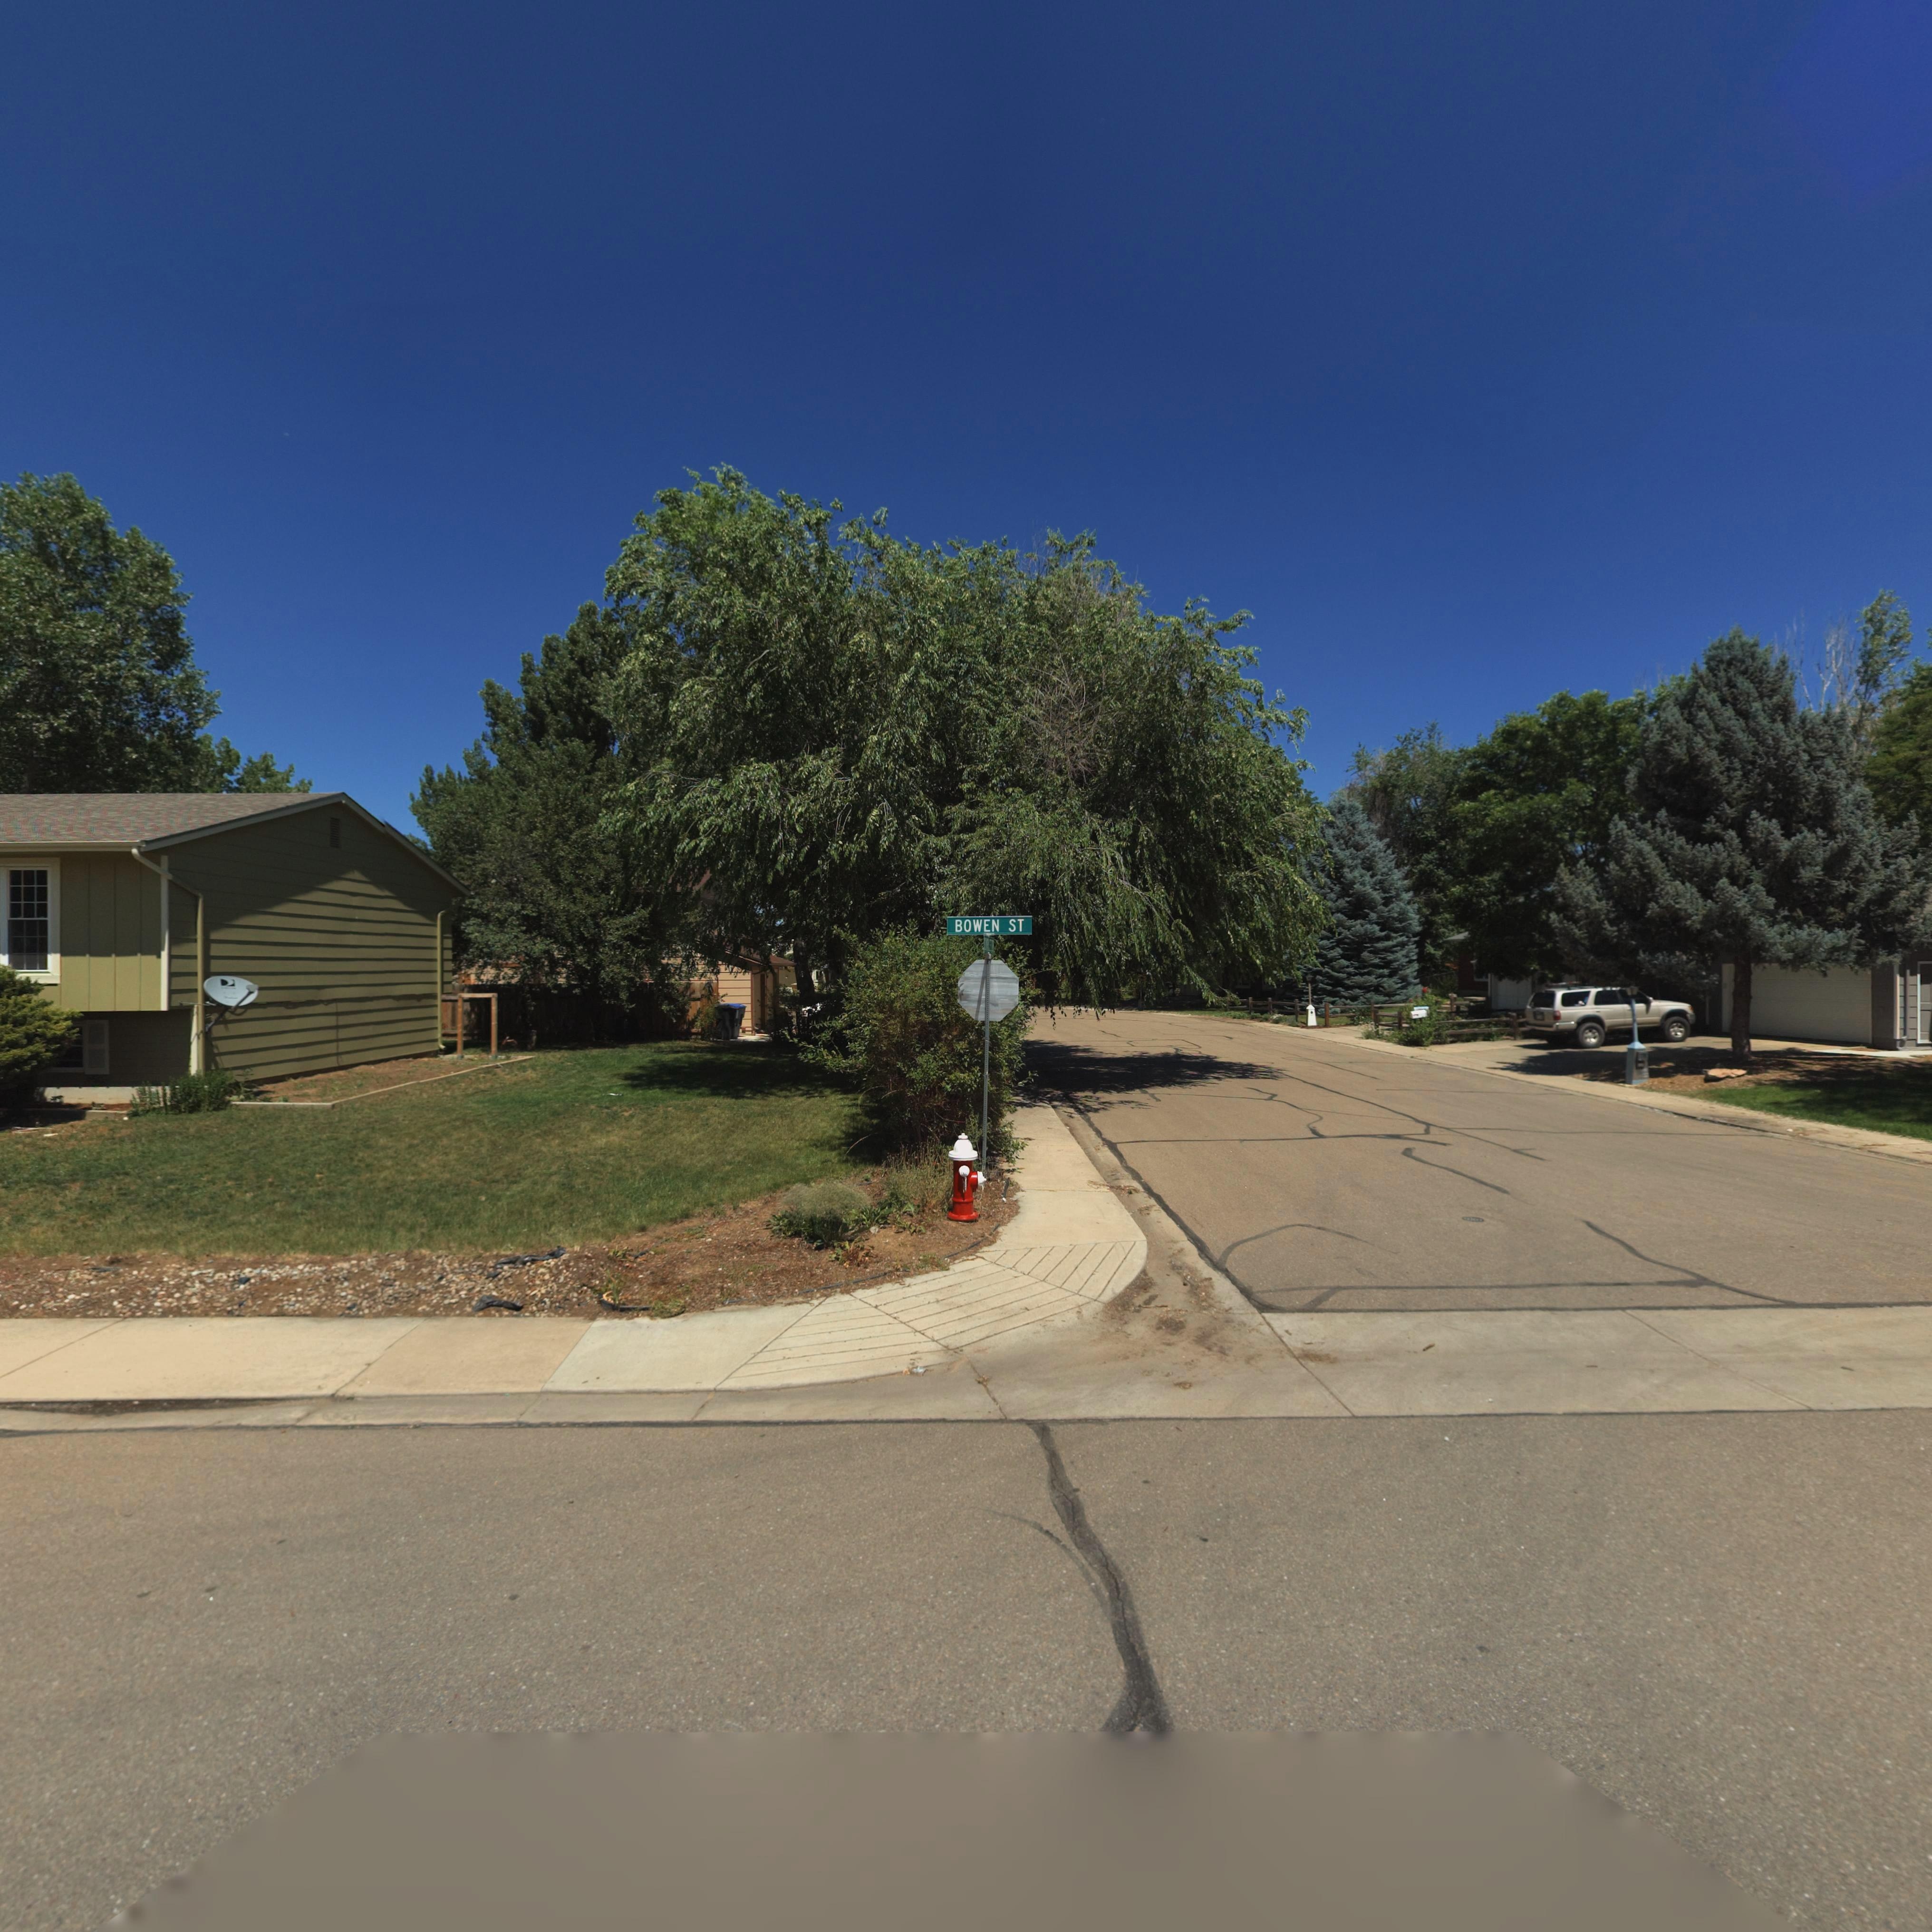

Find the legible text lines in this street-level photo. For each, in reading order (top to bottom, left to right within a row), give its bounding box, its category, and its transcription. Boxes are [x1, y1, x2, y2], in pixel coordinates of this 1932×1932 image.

[954, 918, 1024, 932] StreetName: BOWEN ST